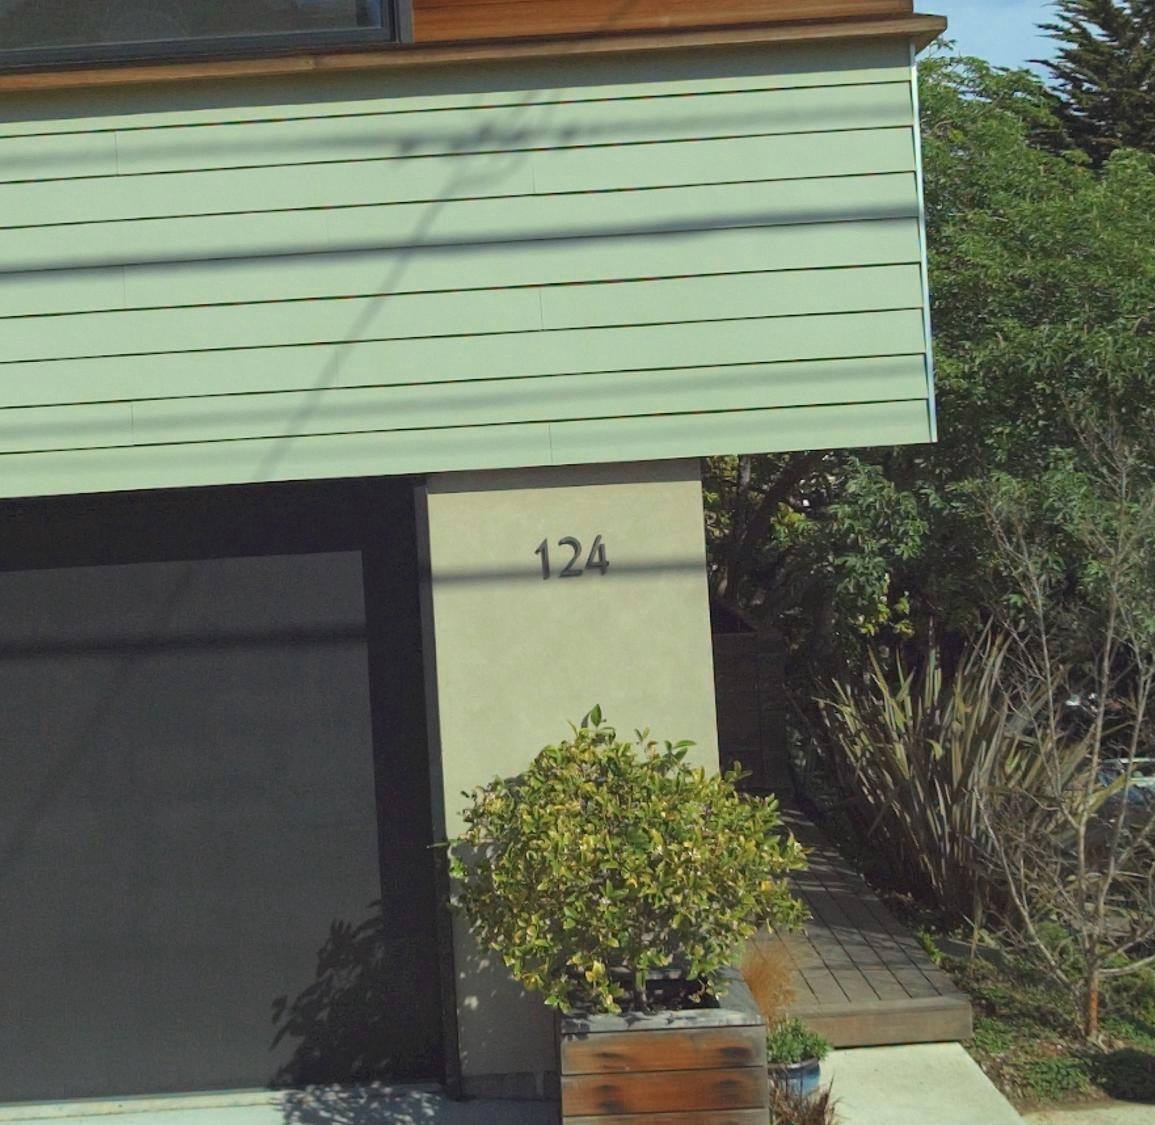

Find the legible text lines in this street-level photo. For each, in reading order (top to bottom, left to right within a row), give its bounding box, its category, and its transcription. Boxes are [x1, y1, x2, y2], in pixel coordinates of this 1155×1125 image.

[531, 529, 616, 580] StreetNumber: 124